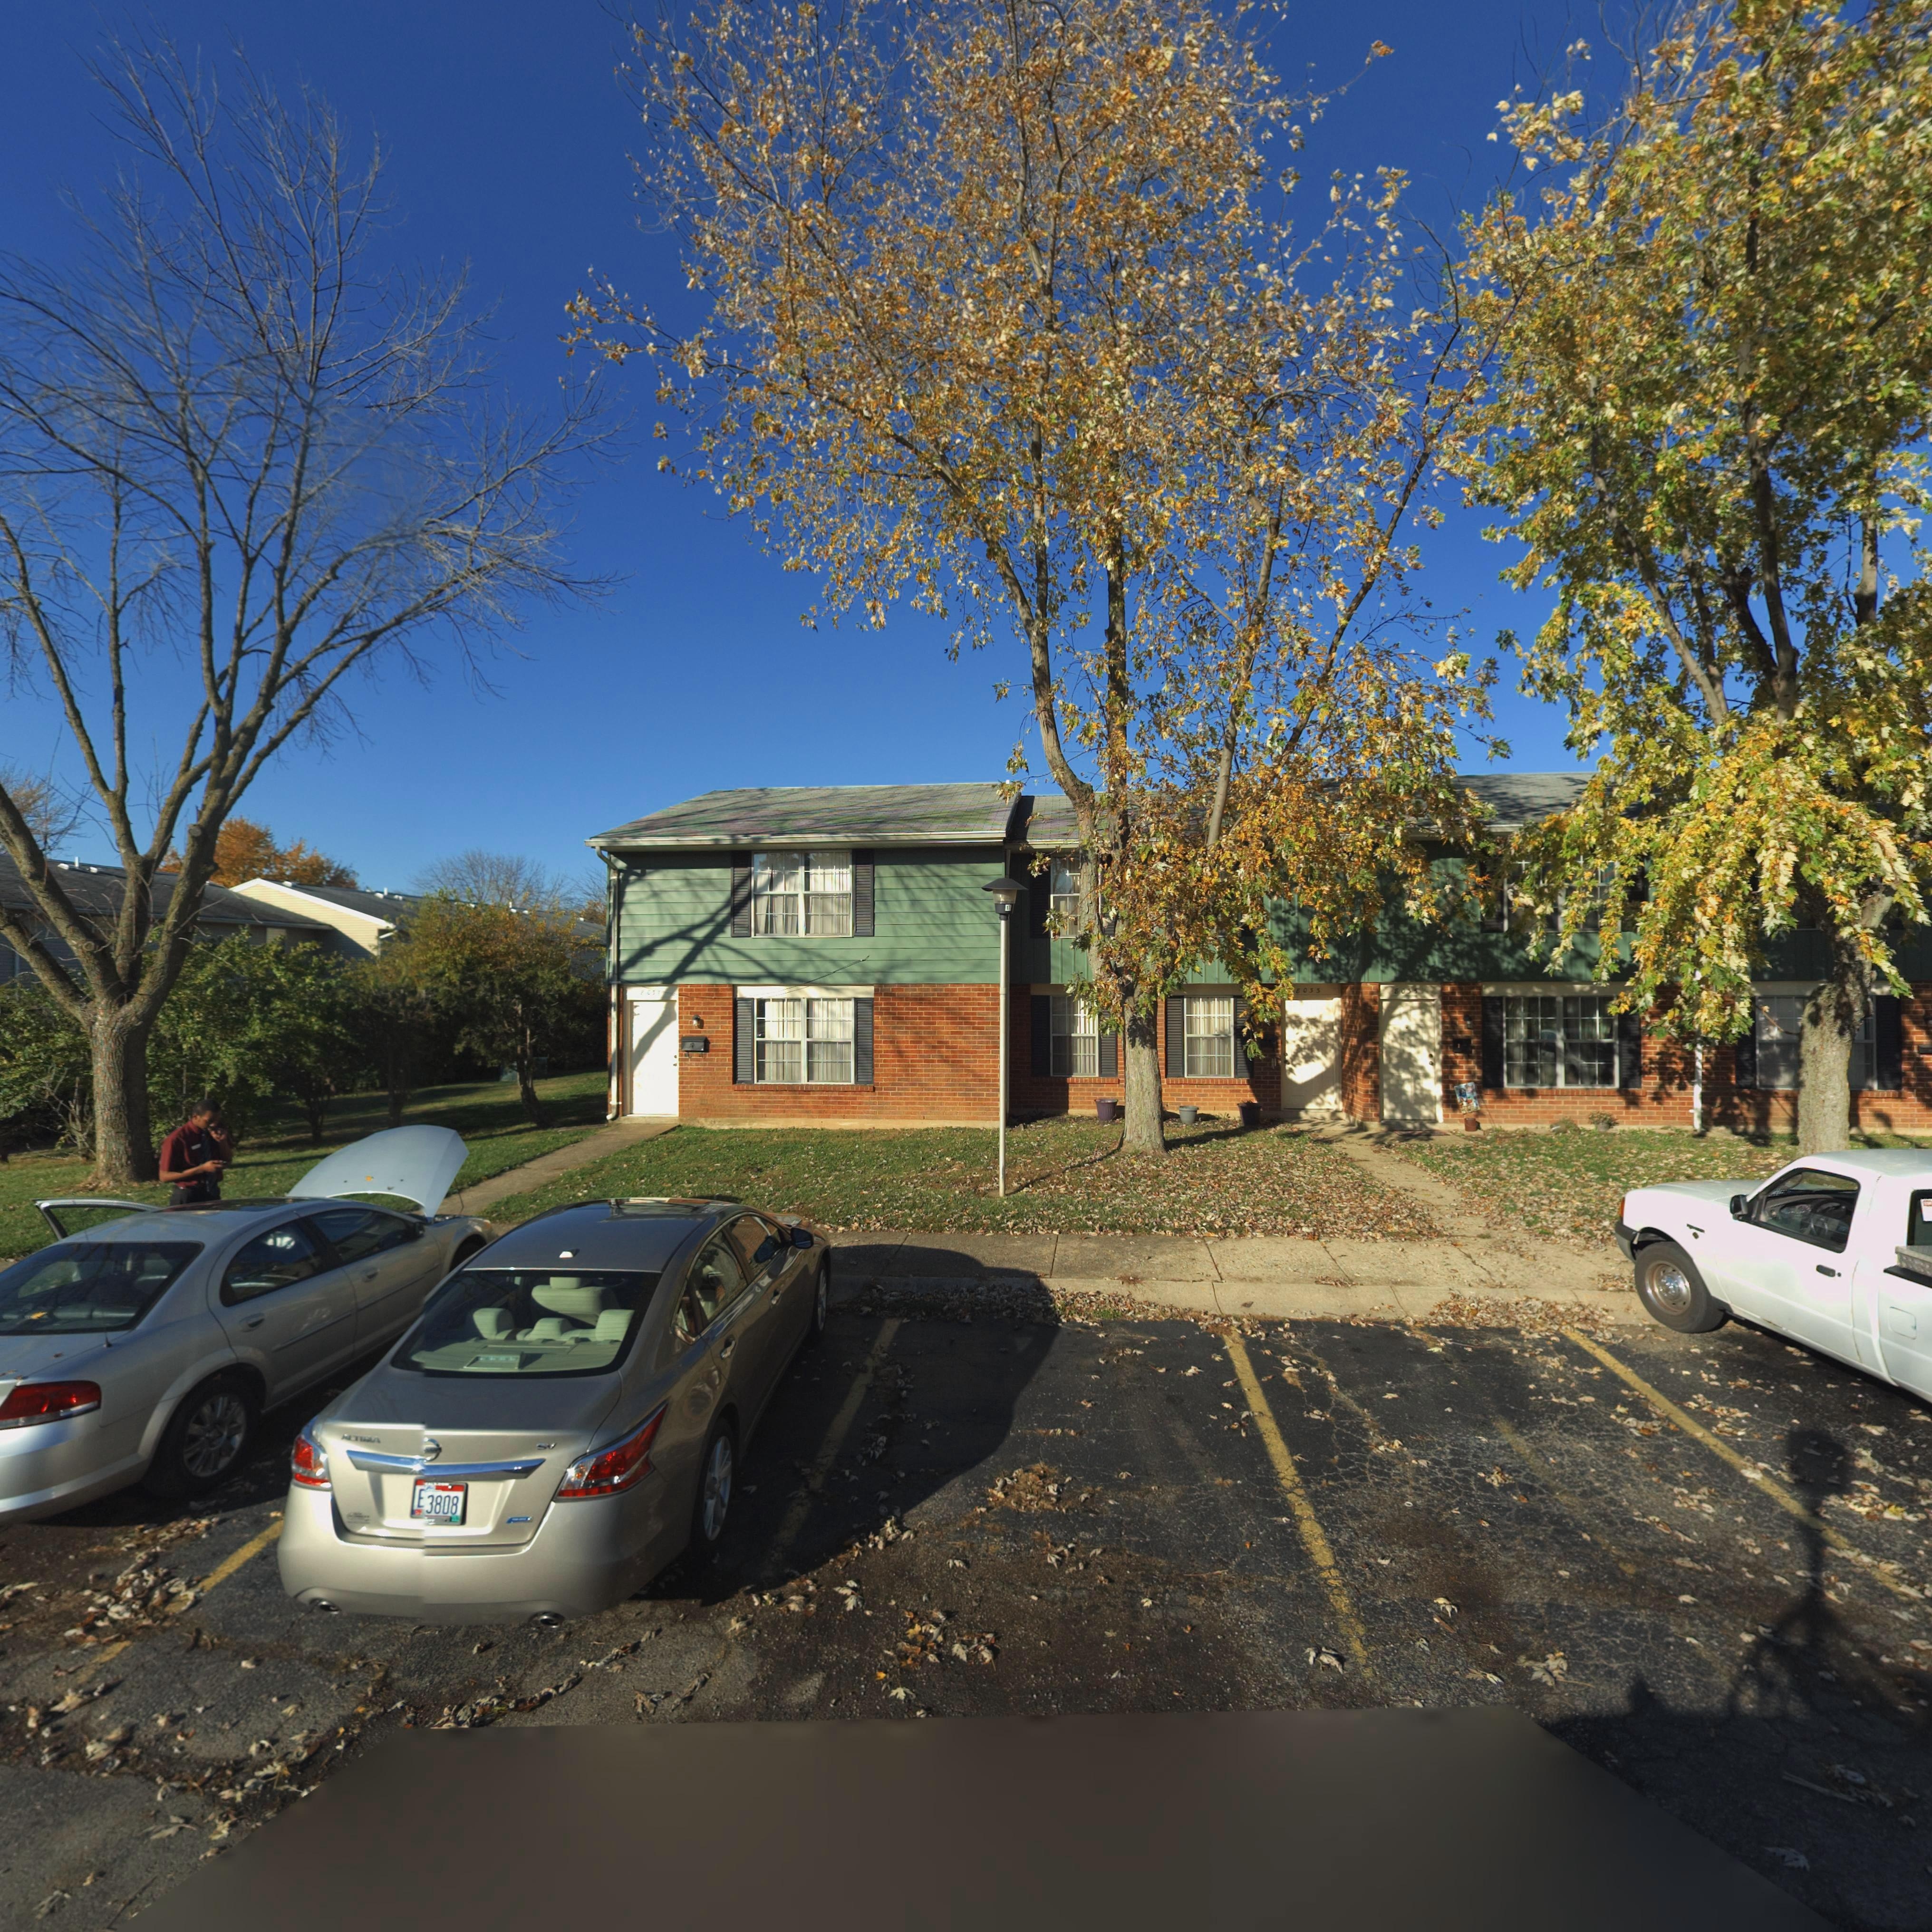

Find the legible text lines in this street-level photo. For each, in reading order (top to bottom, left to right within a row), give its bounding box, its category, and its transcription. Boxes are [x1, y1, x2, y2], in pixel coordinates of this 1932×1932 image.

[640, 989, 660, 996] StreetNumber: 8031
[1295, 987, 1321, 994] StreetNumber: 8033
[1393, 987, 1418, 994] StreetNumber: 8035